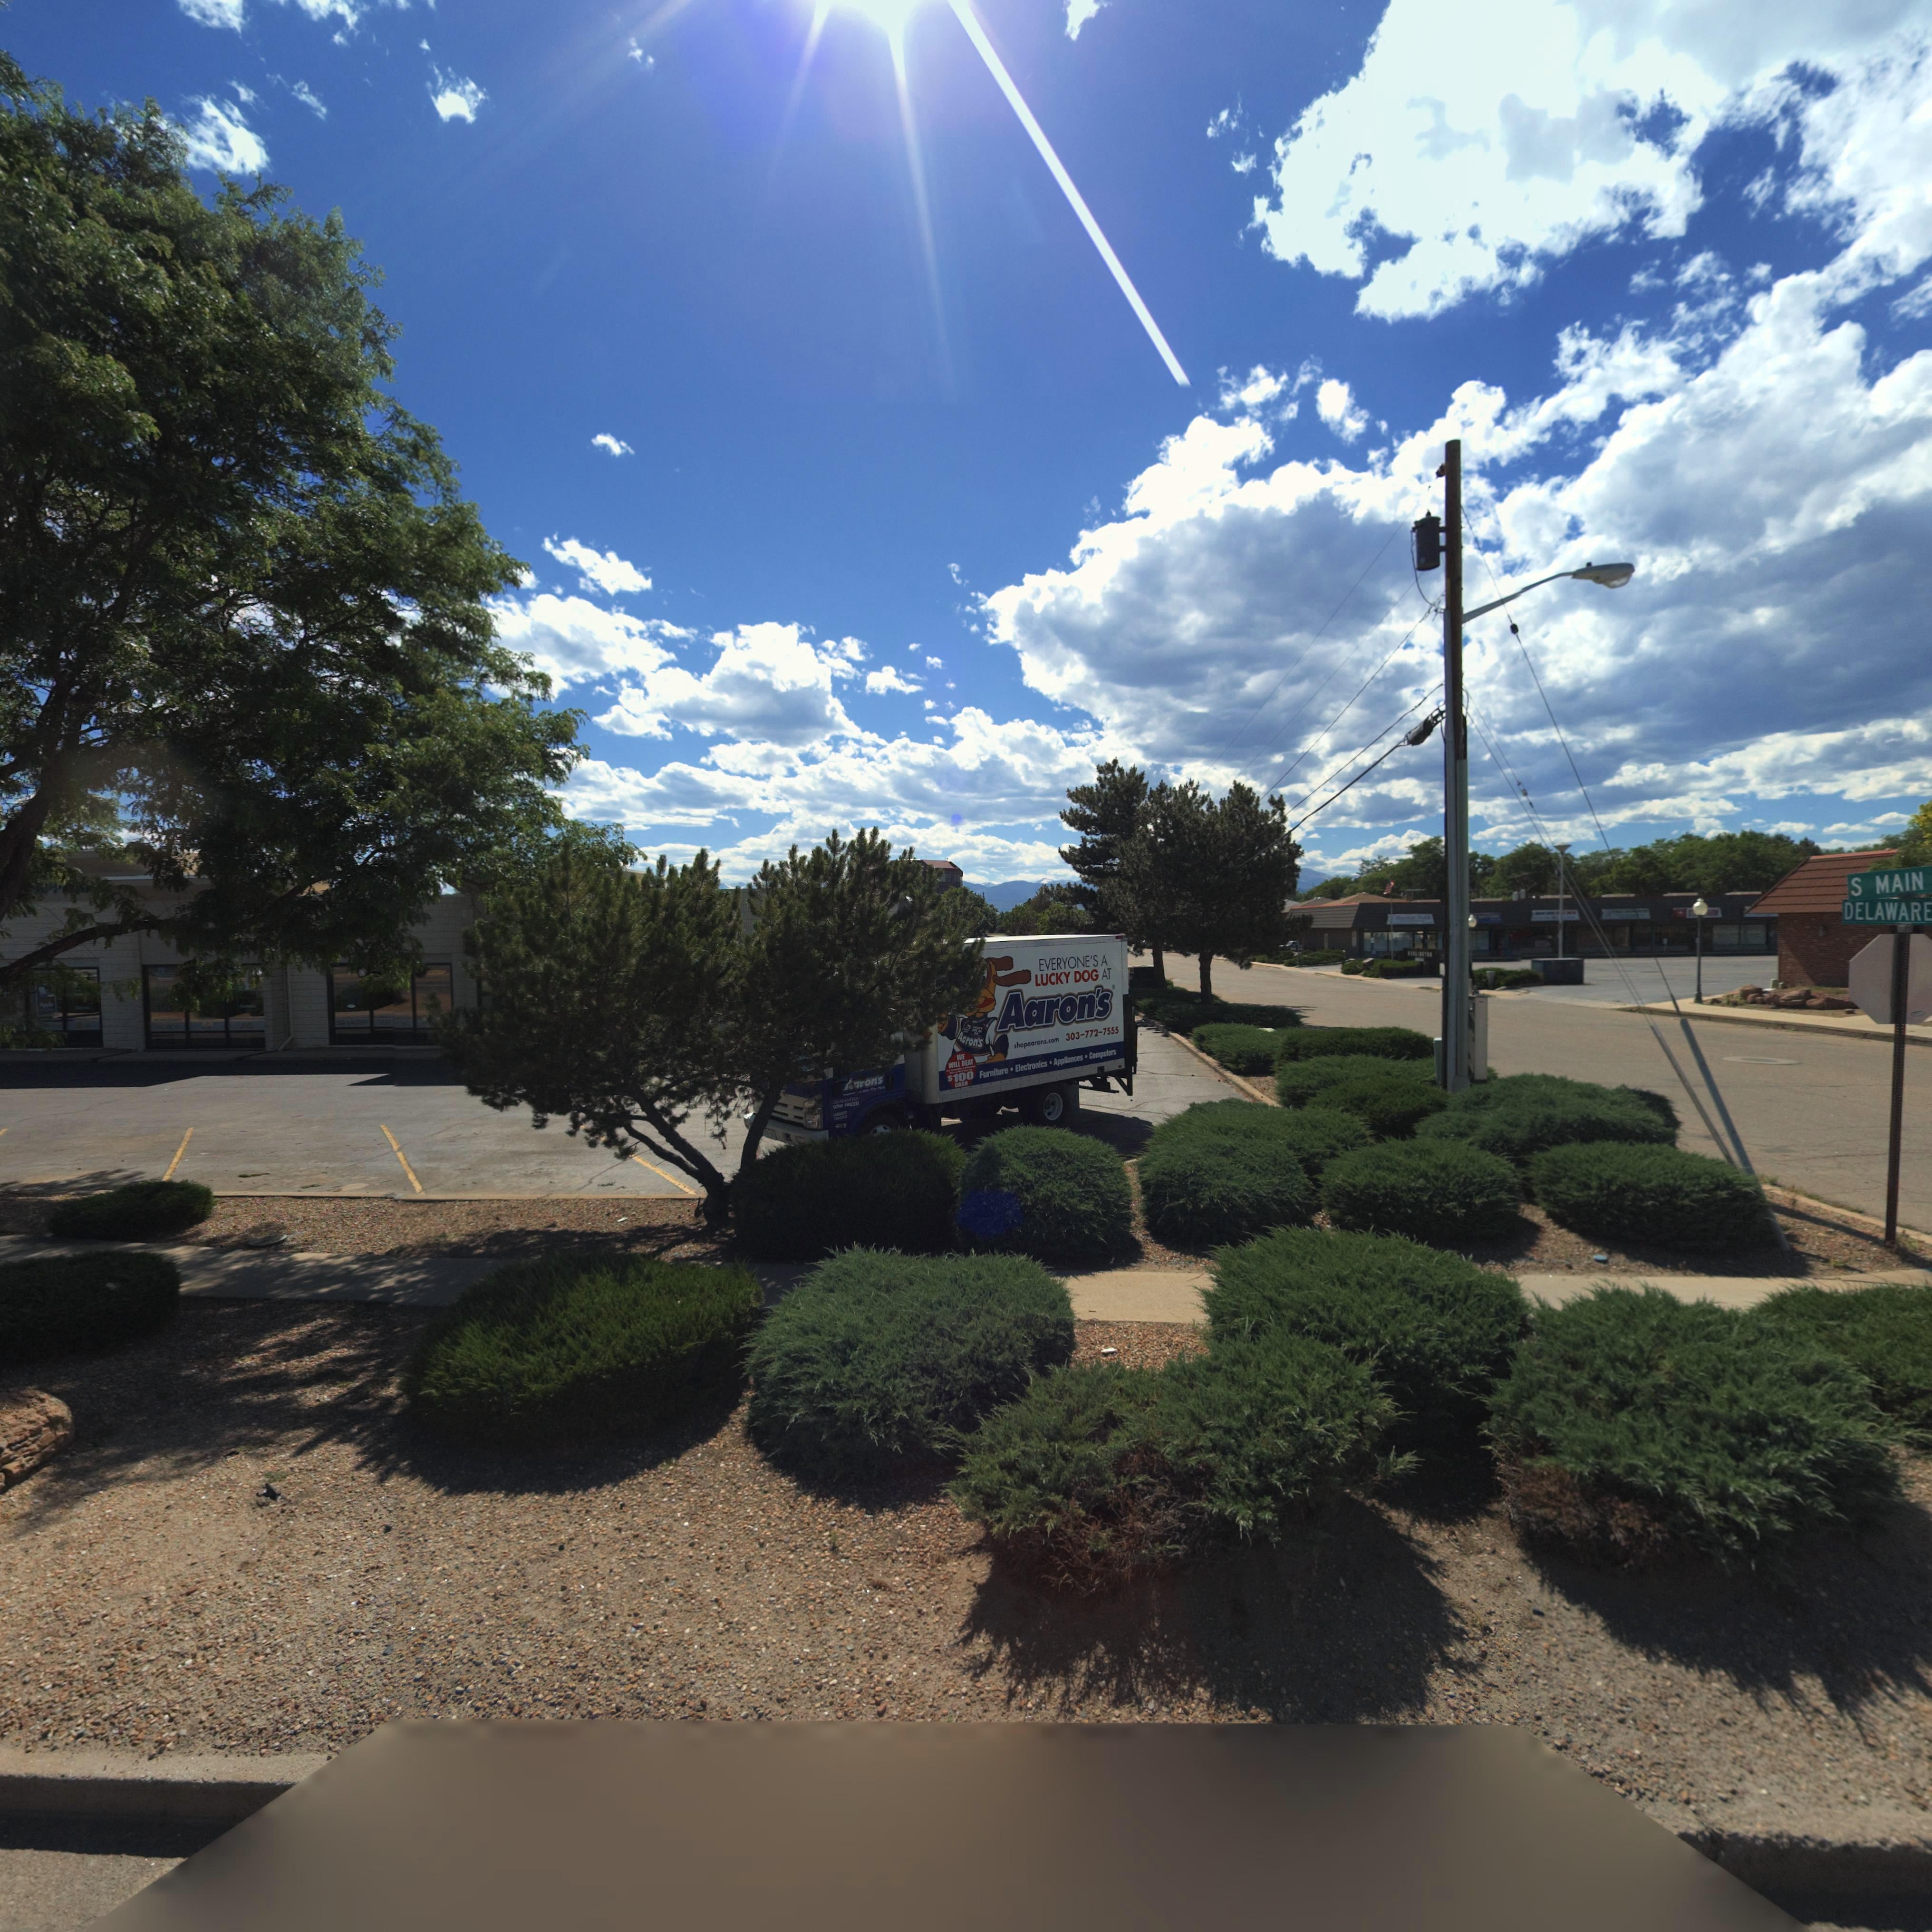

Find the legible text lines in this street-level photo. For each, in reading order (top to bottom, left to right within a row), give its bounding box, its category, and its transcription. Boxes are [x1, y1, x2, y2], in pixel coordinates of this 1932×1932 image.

[1850, 870, 1924, 897] StreetName: S MAIN
[1688, 909, 1719, 917] BusinessName: S**** *AR*
[1843, 901, 1932, 922] StreetName: DELAWARE